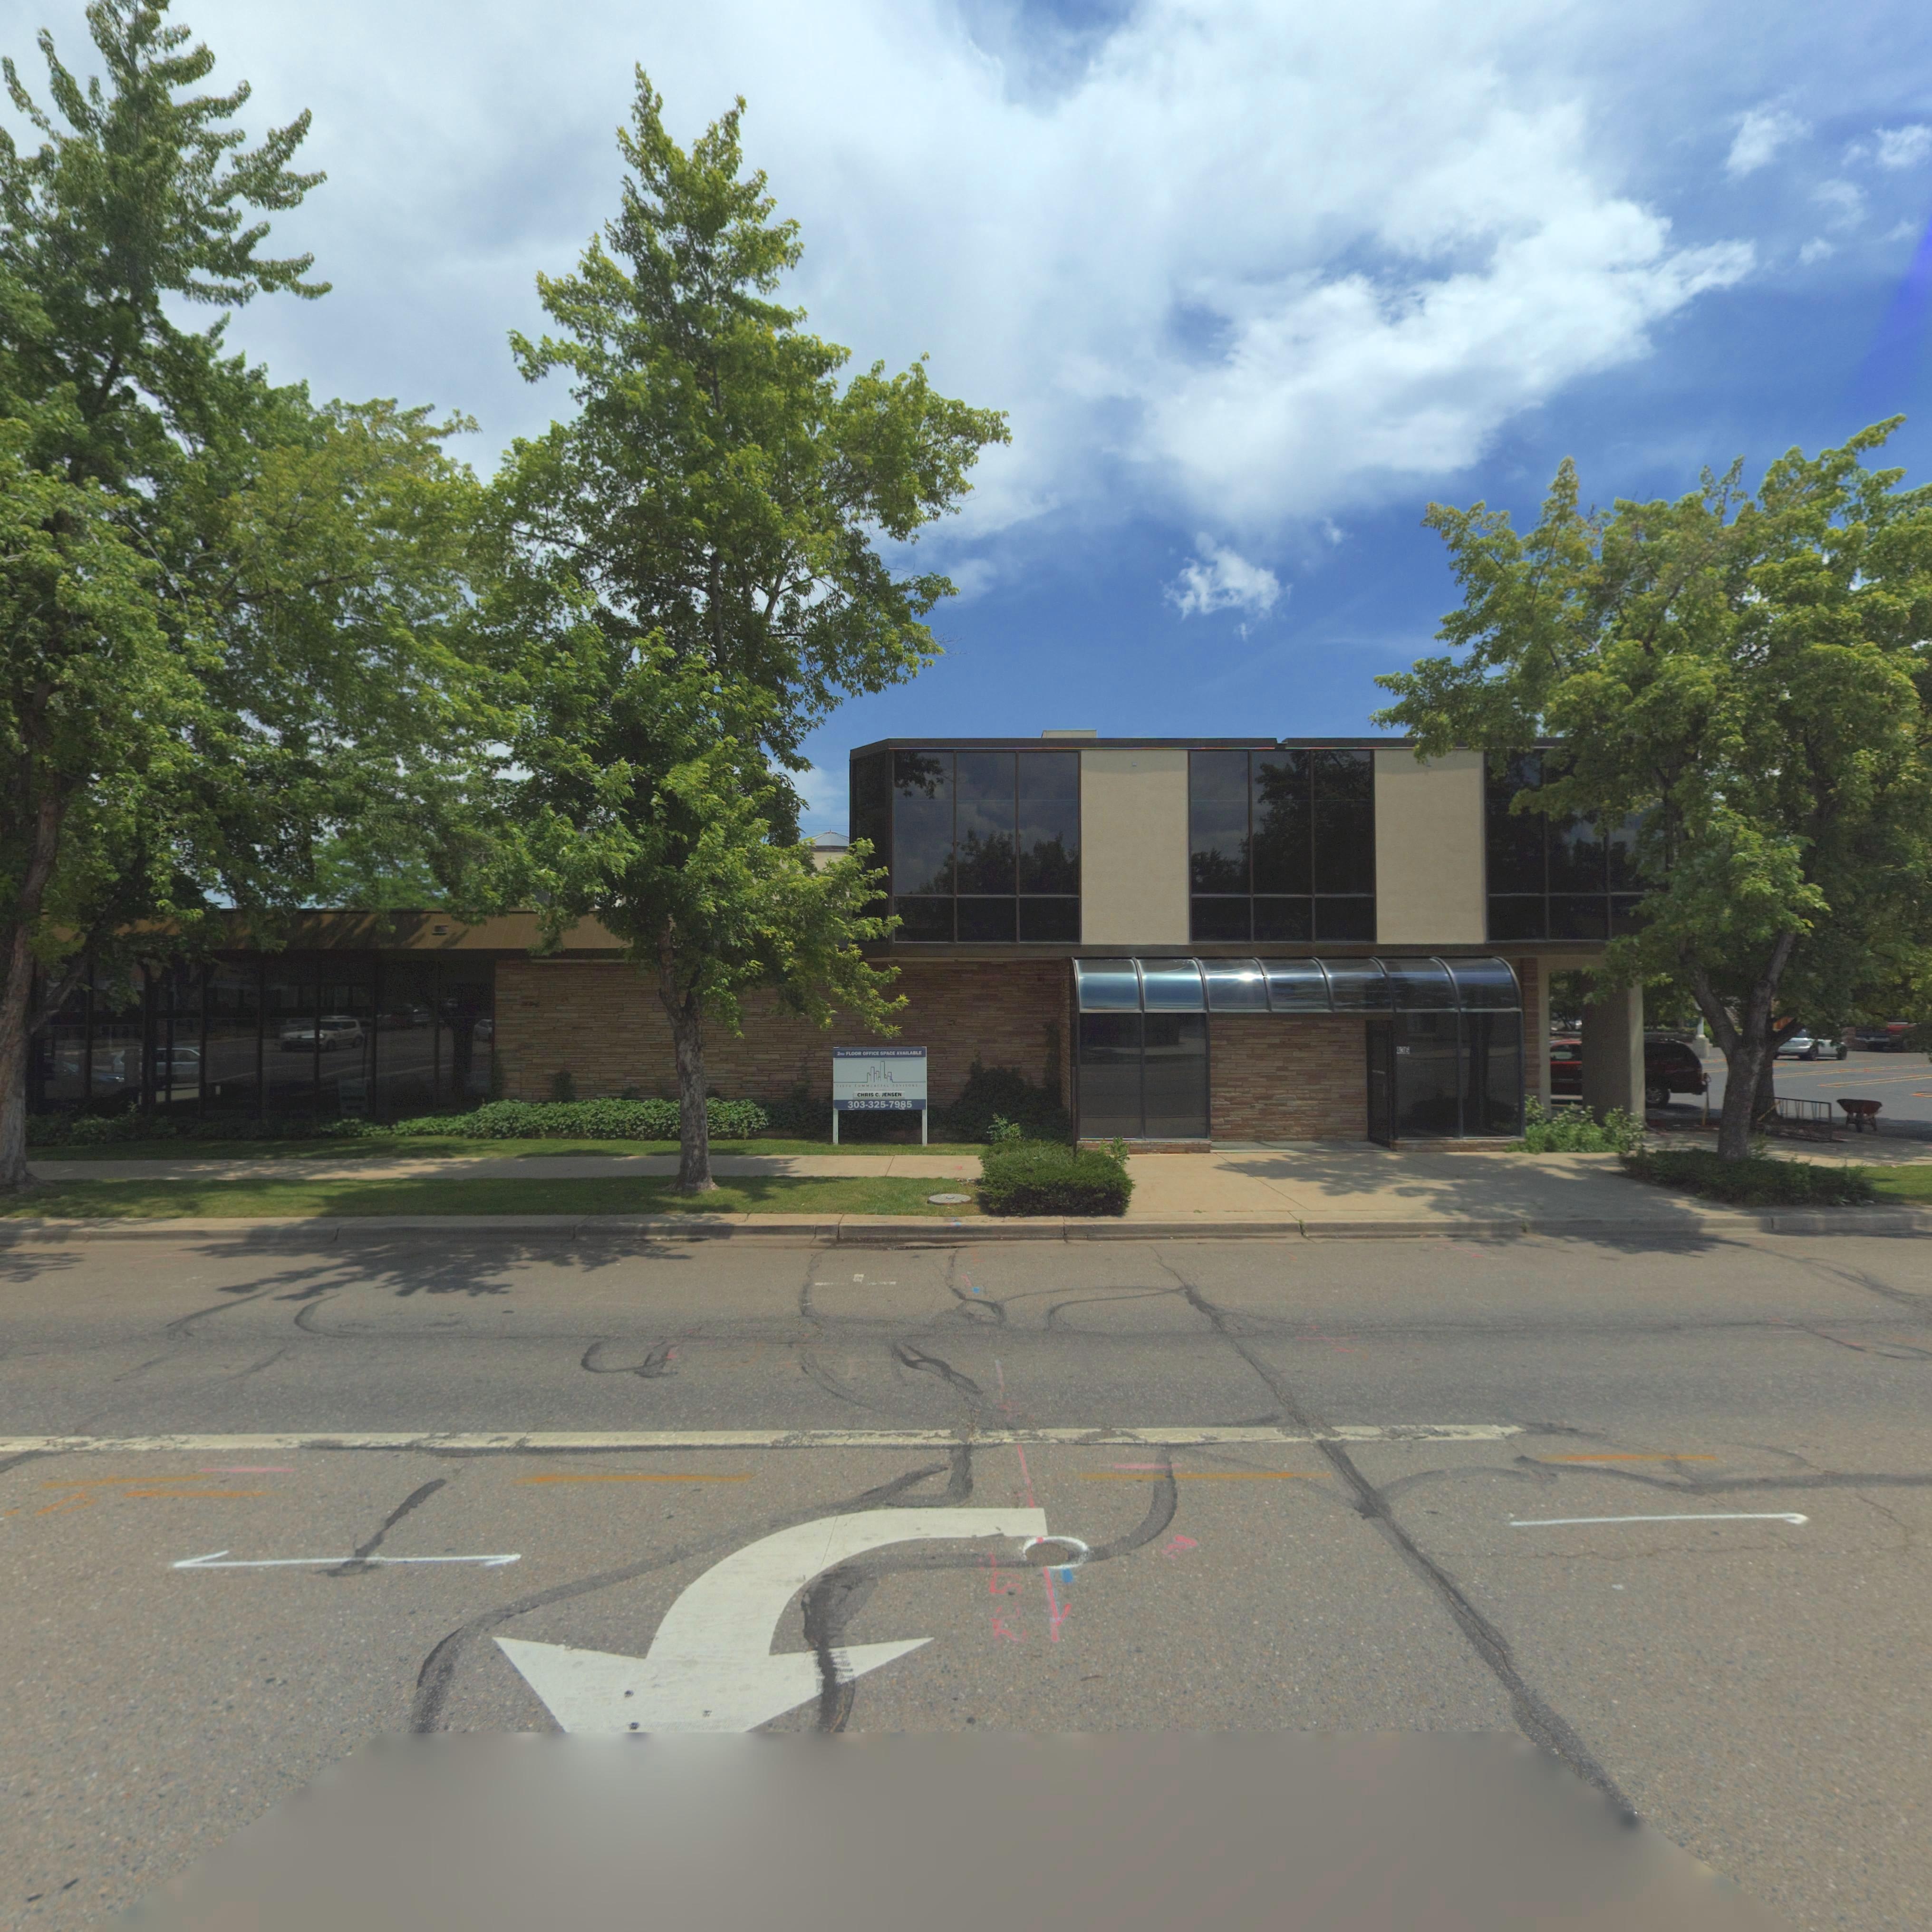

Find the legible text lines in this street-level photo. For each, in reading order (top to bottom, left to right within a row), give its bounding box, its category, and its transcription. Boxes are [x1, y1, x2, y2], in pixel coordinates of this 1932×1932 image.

[1397, 1046, 1409, 1053] StreetNumber: *36